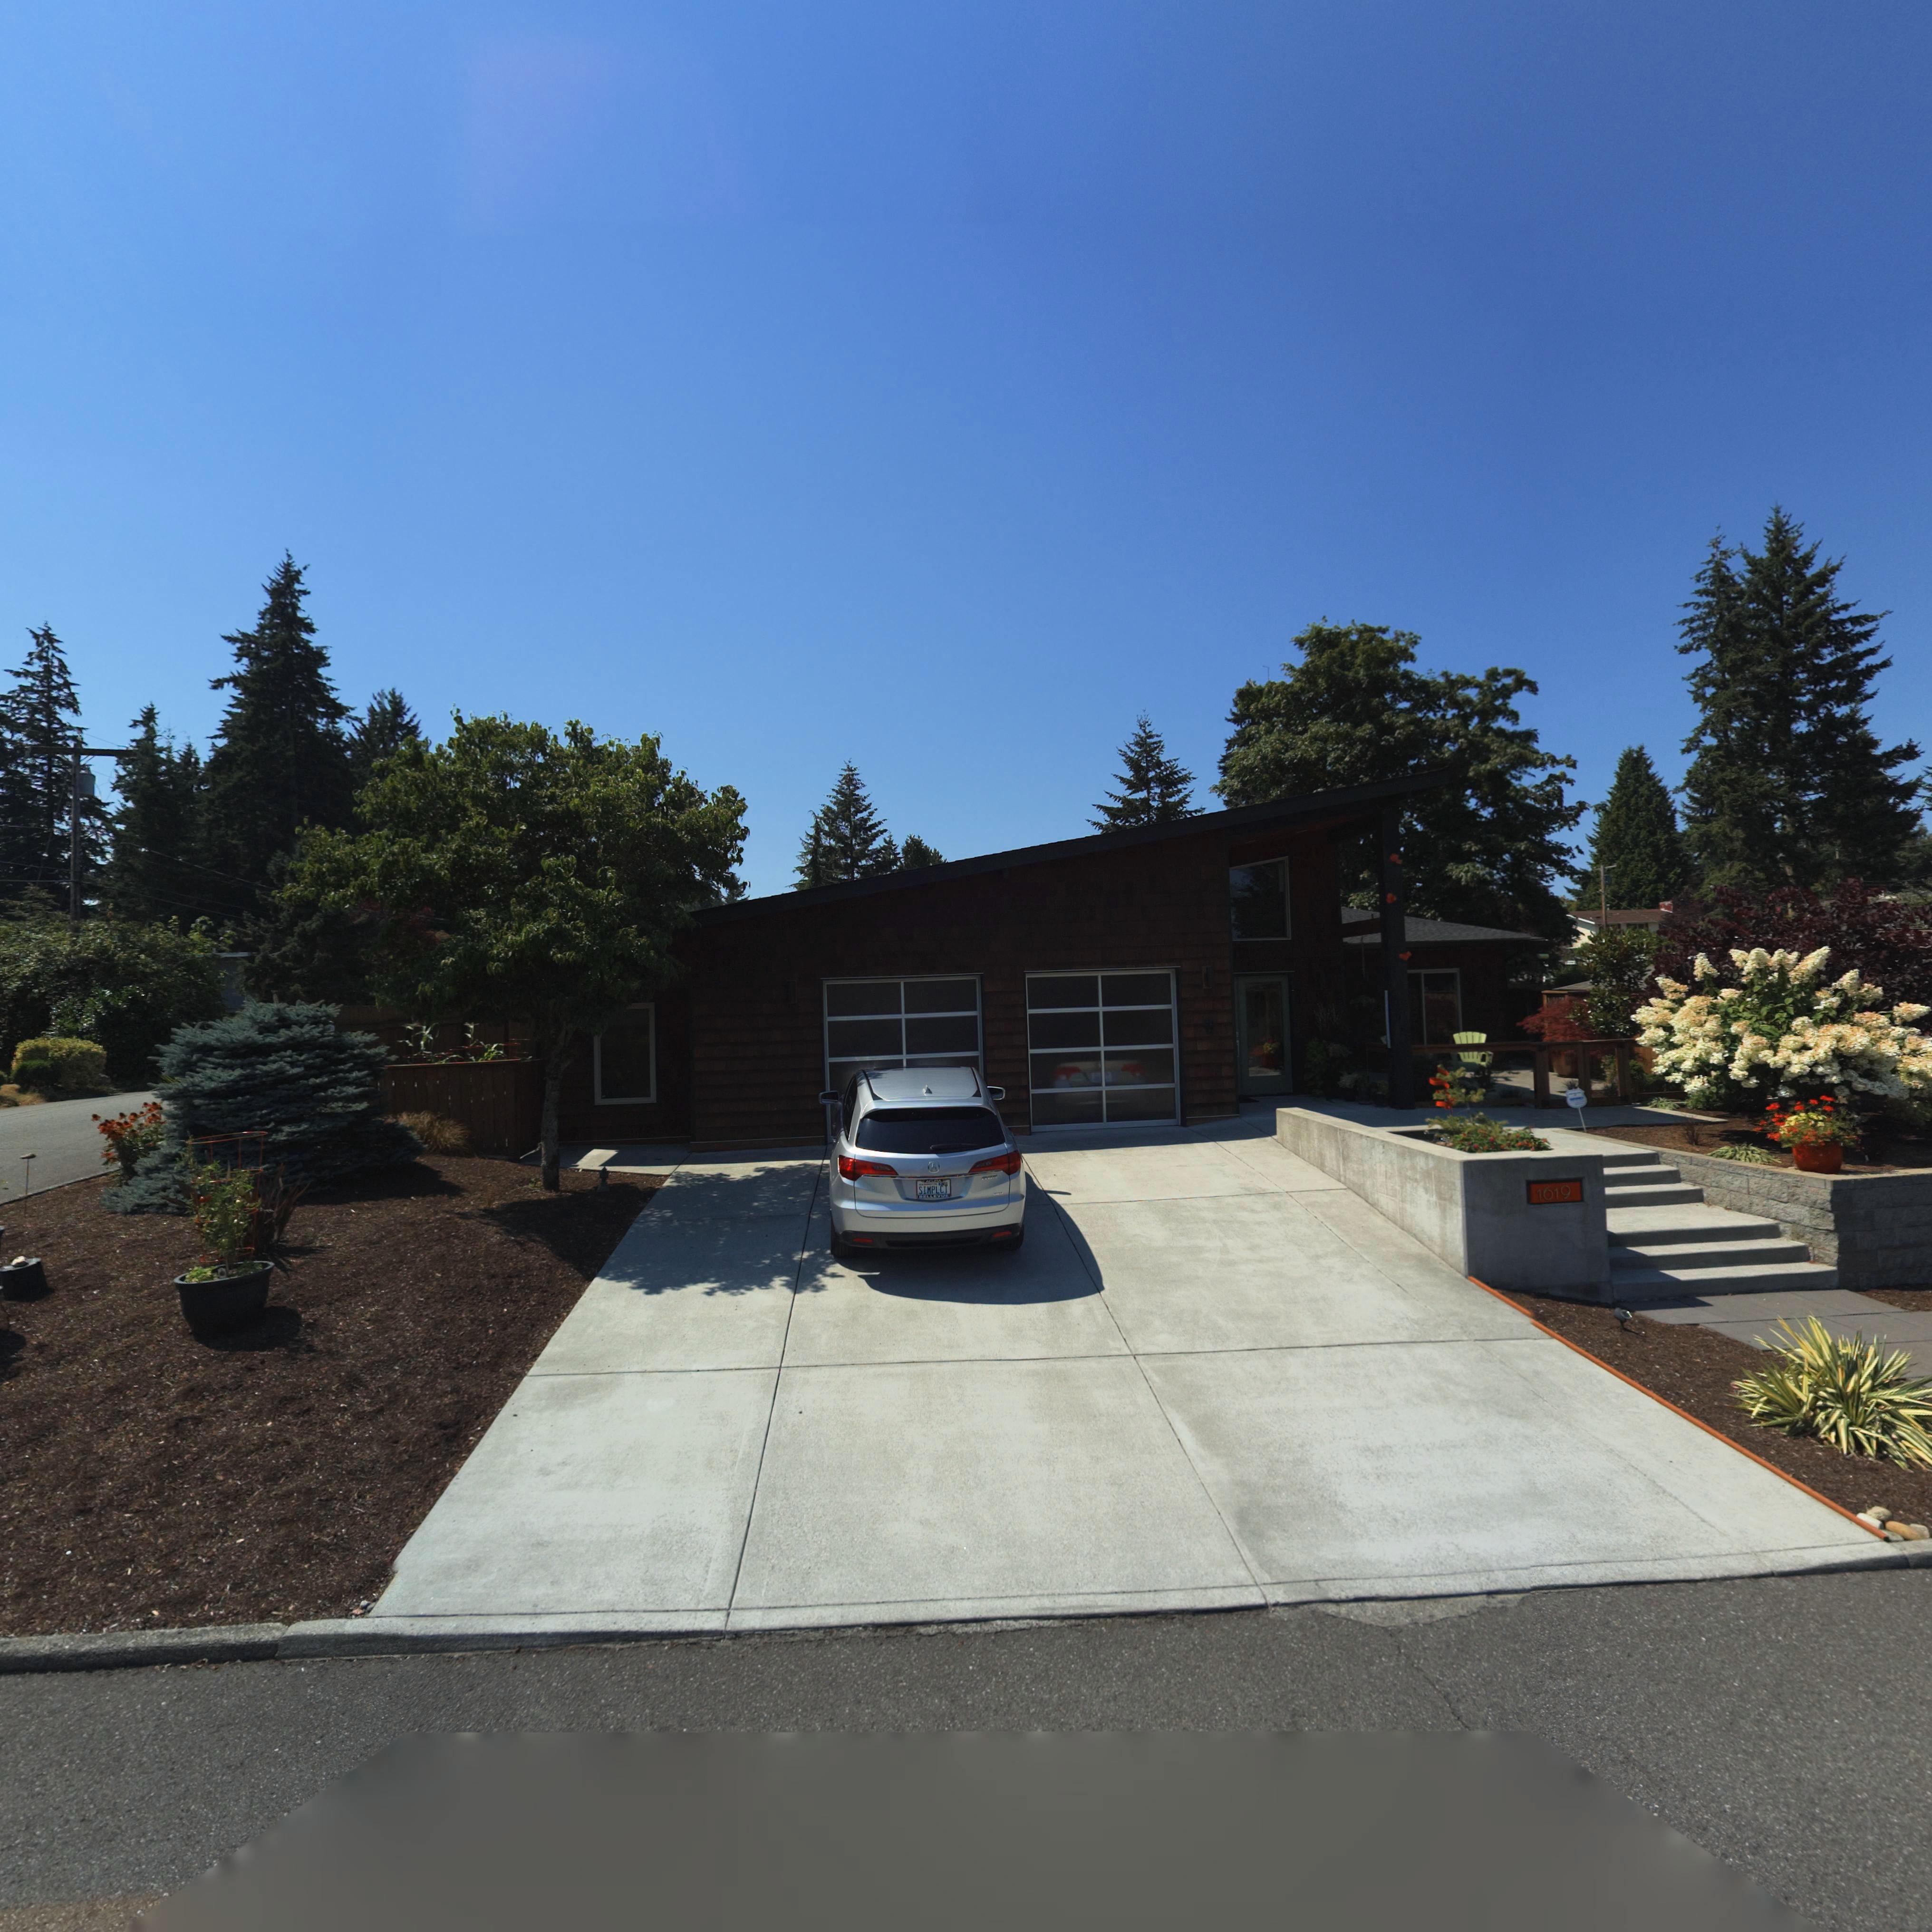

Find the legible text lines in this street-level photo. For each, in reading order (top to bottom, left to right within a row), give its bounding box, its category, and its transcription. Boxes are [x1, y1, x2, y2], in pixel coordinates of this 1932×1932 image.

[1534, 1184, 1571, 1201] StreetNumber: 1619